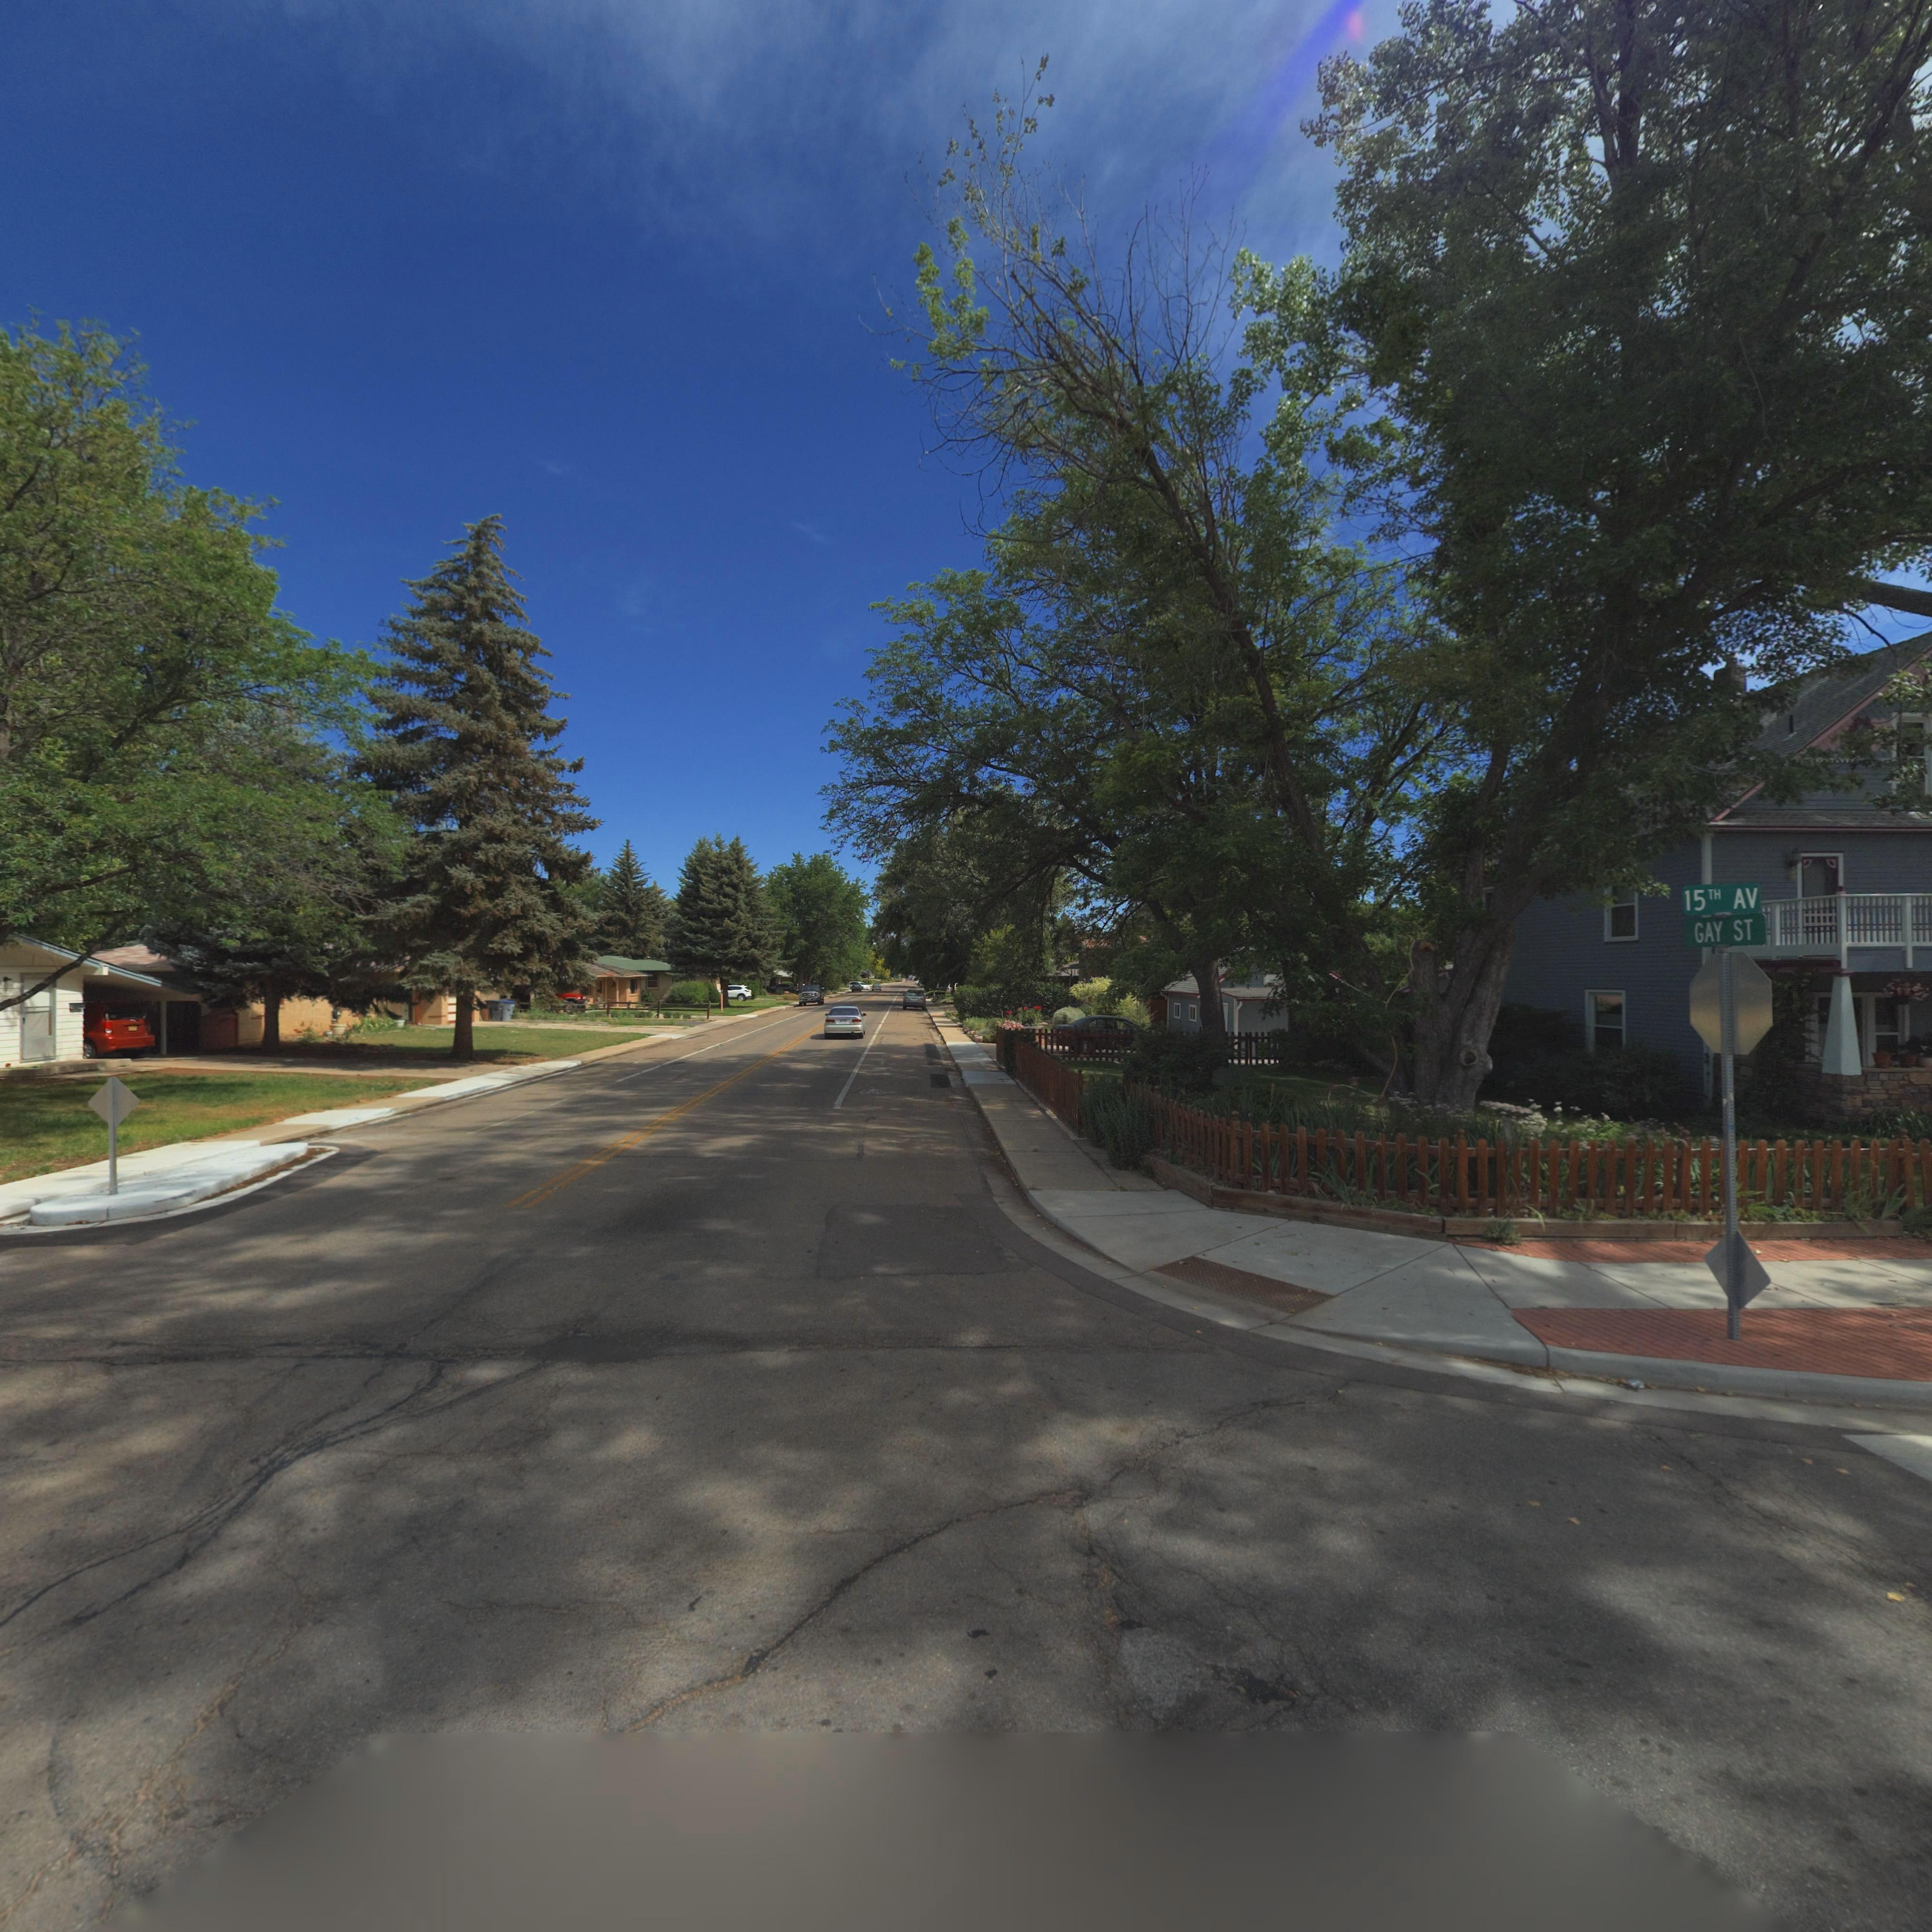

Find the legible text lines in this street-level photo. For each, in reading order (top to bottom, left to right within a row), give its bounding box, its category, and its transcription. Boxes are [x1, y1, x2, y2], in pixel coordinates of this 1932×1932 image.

[1684, 887, 1758, 911] StreetName: 15TH AV
[1694, 918, 1753, 944] StreetName: GAY ST